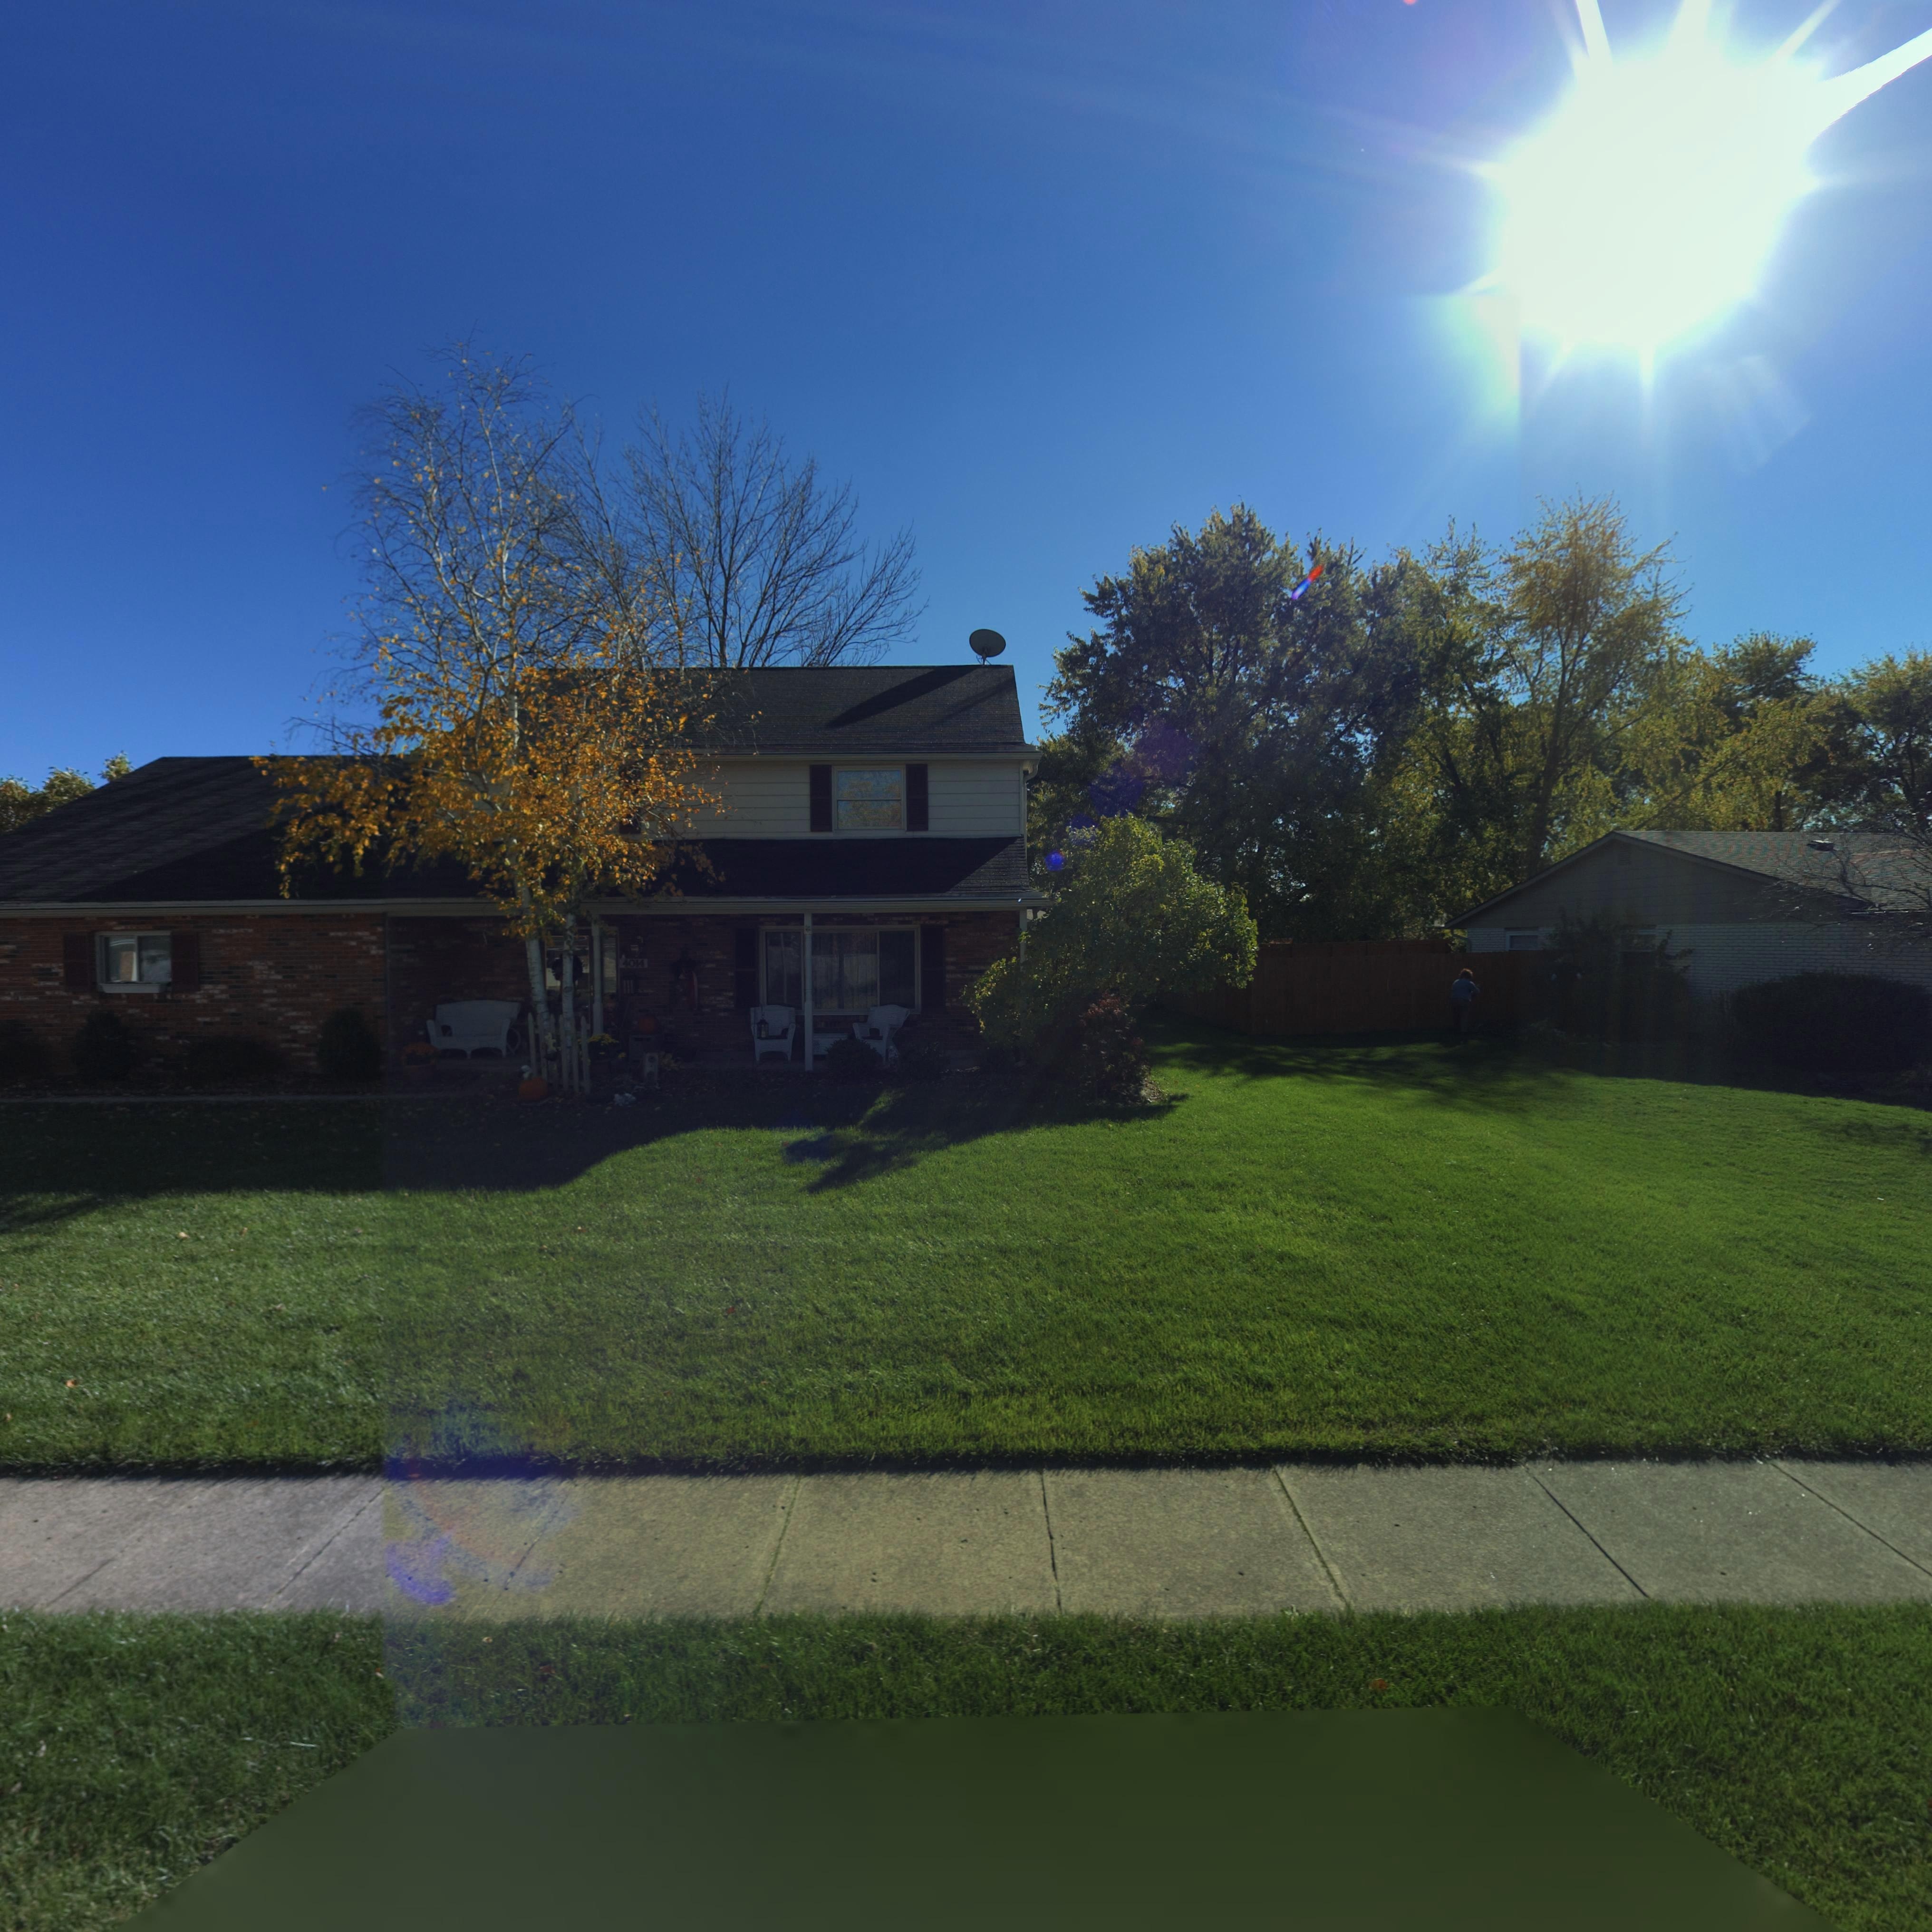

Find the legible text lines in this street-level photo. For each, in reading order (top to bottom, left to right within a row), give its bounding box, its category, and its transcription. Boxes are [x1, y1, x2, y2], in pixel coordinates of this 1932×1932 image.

[622, 958, 645, 967] StreetNumber: 4014